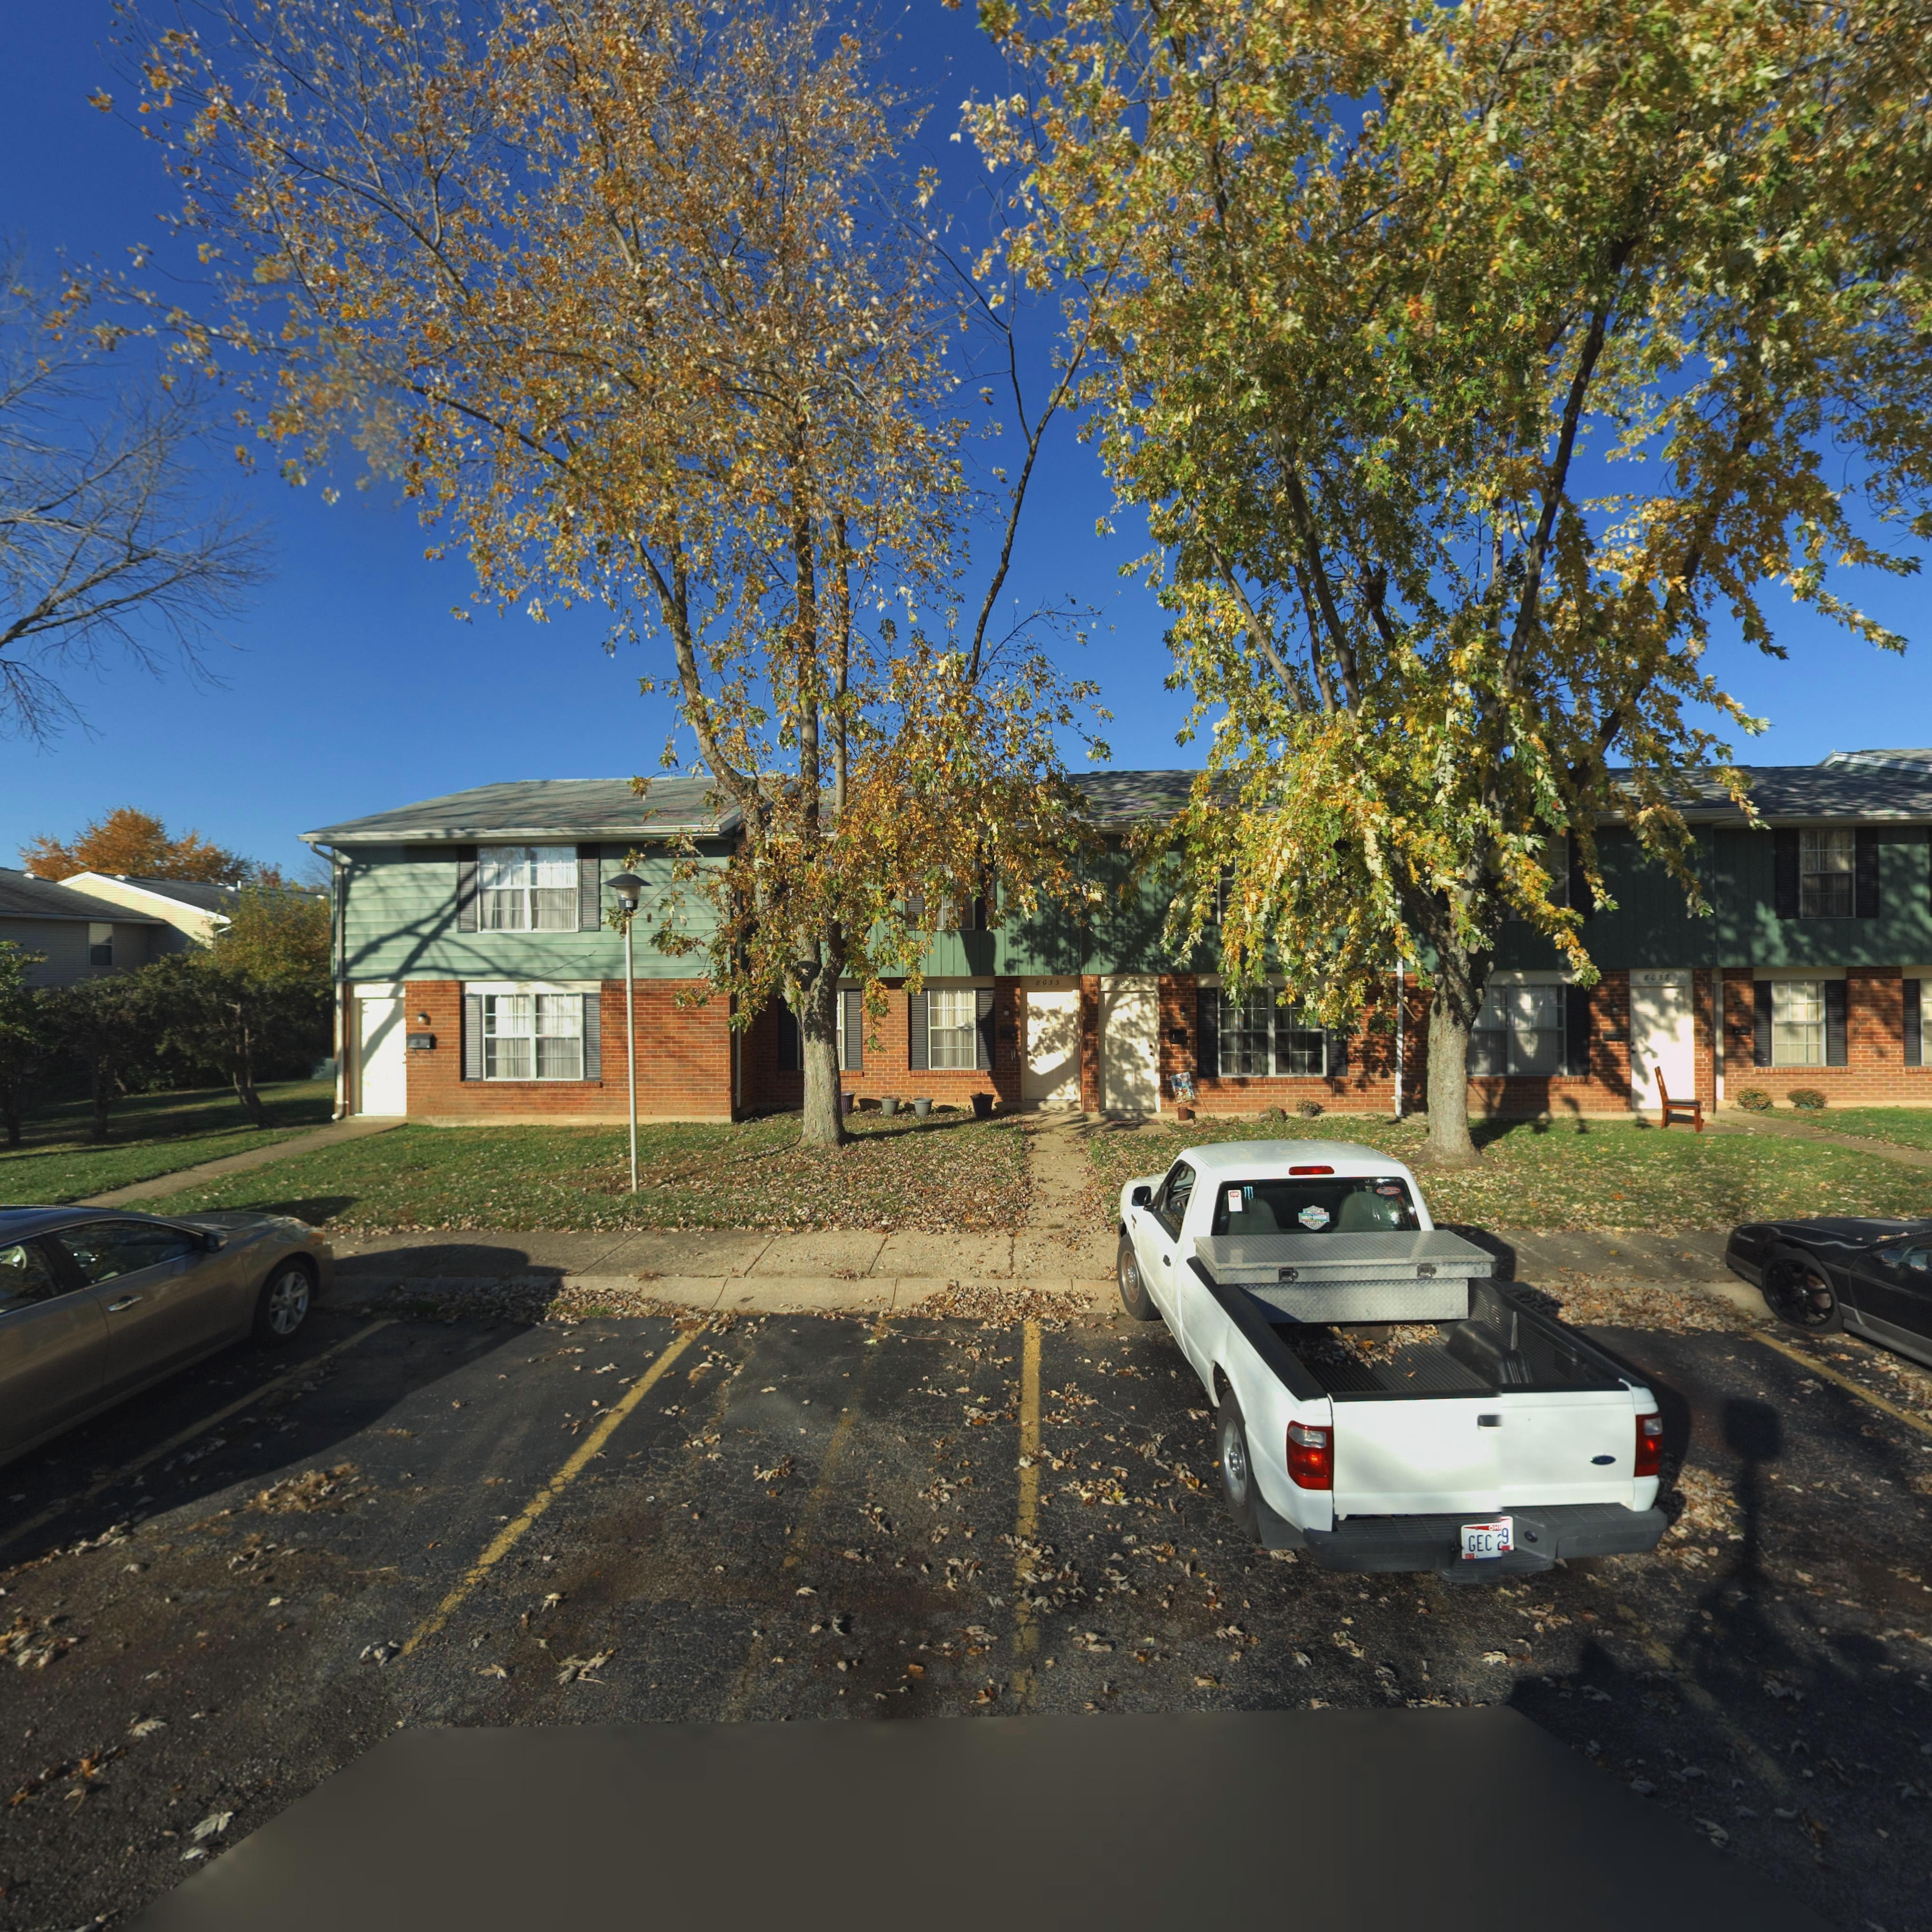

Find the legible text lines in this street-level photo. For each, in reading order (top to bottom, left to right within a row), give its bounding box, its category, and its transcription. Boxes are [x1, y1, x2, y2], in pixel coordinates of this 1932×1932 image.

[1643, 974, 1671, 981] StreetNumber: 8037
[1035, 979, 1060, 986] StreetNumber: 8033
[1114, 979, 1137, 986] StreetNumber: 8035